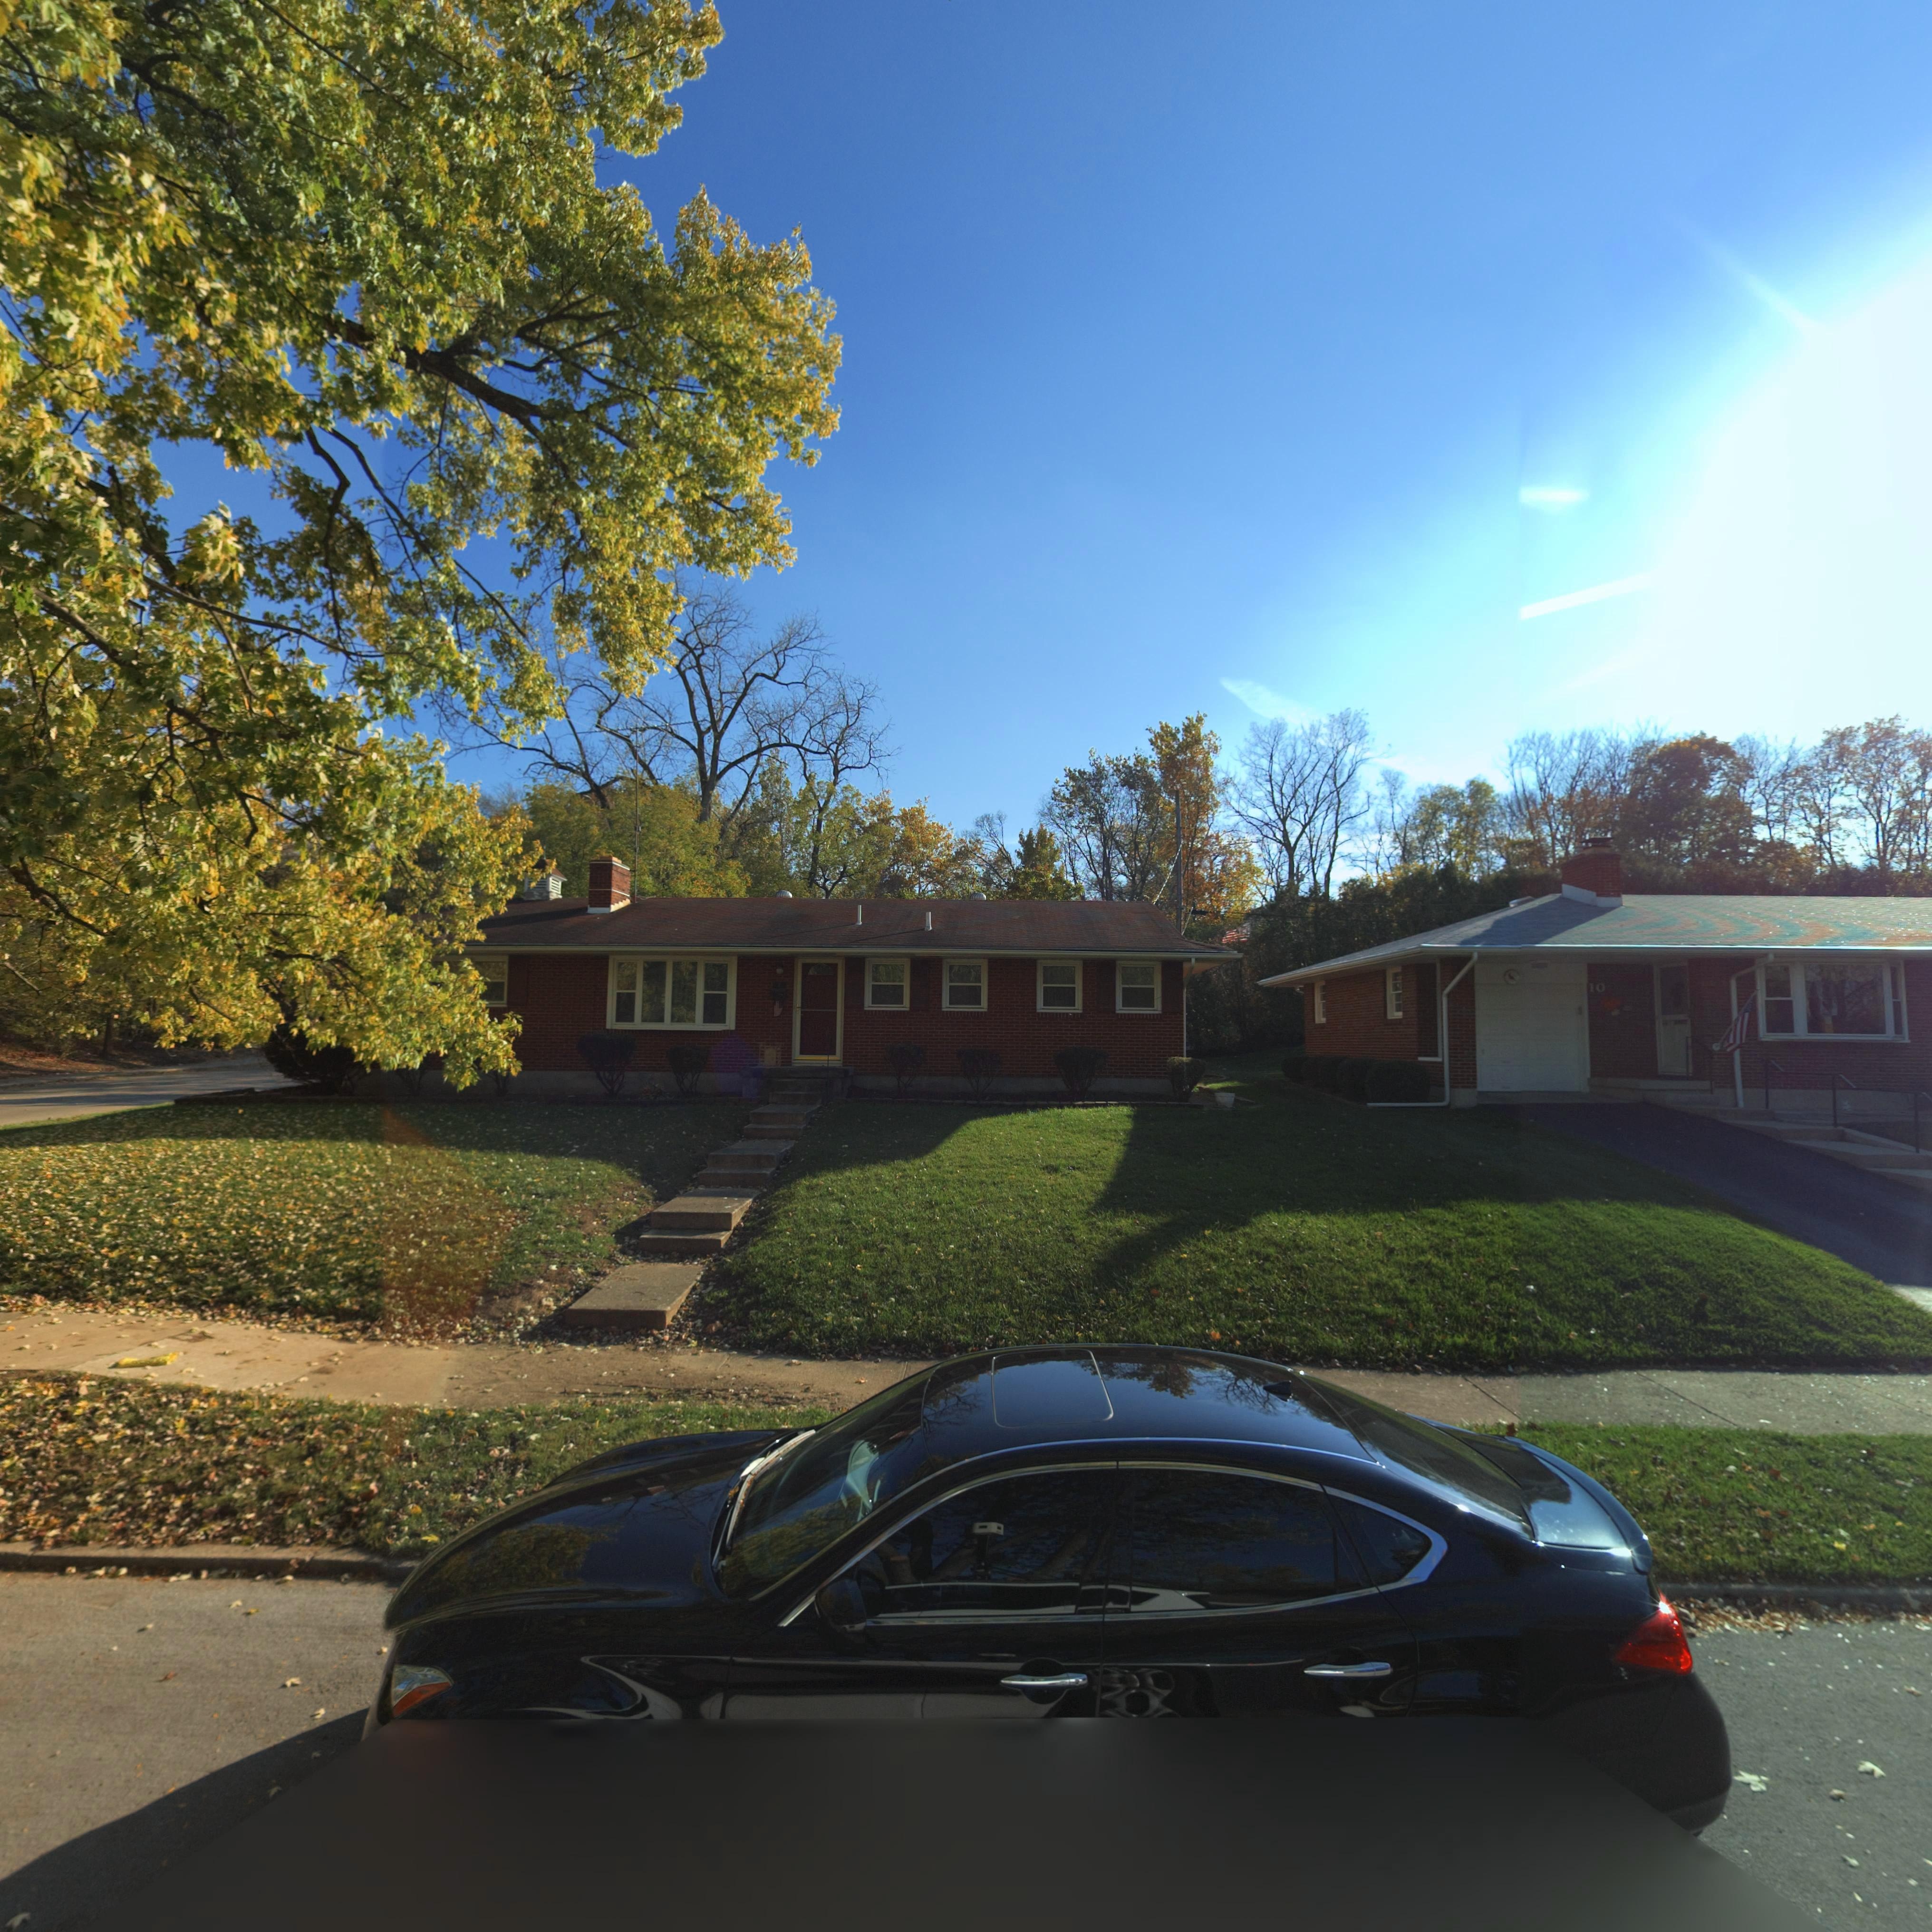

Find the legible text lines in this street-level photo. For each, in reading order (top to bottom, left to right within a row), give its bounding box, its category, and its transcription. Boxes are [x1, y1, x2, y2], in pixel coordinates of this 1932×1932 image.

[777, 982, 781, 988] StreetNumber: 4
[1588, 982, 1605, 993] StreetNumber: 10